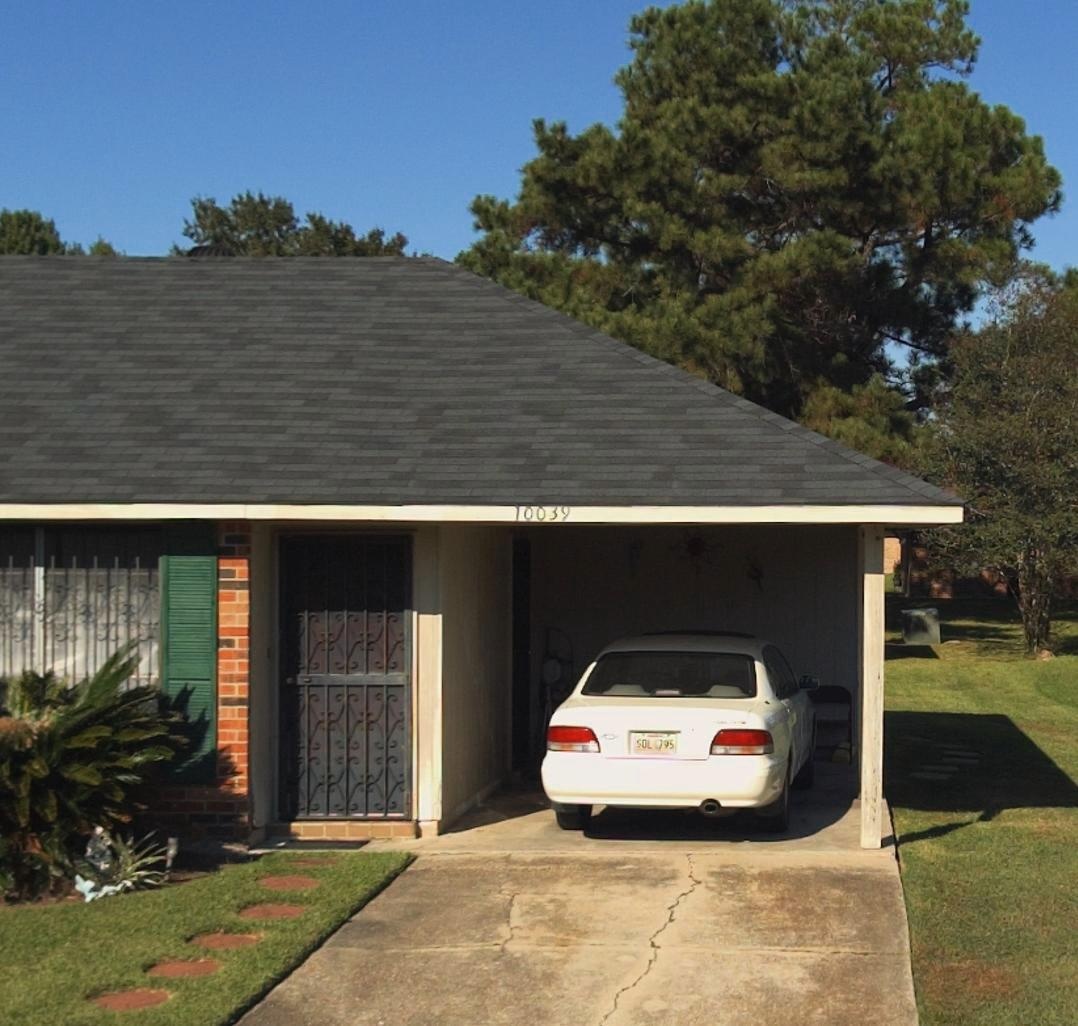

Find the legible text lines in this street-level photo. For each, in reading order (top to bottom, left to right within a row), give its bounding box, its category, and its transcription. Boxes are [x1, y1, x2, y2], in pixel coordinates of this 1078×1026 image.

[513, 504, 572, 522] StreetNumber: 10039
[635, 738, 675, 750] None: SOL 795